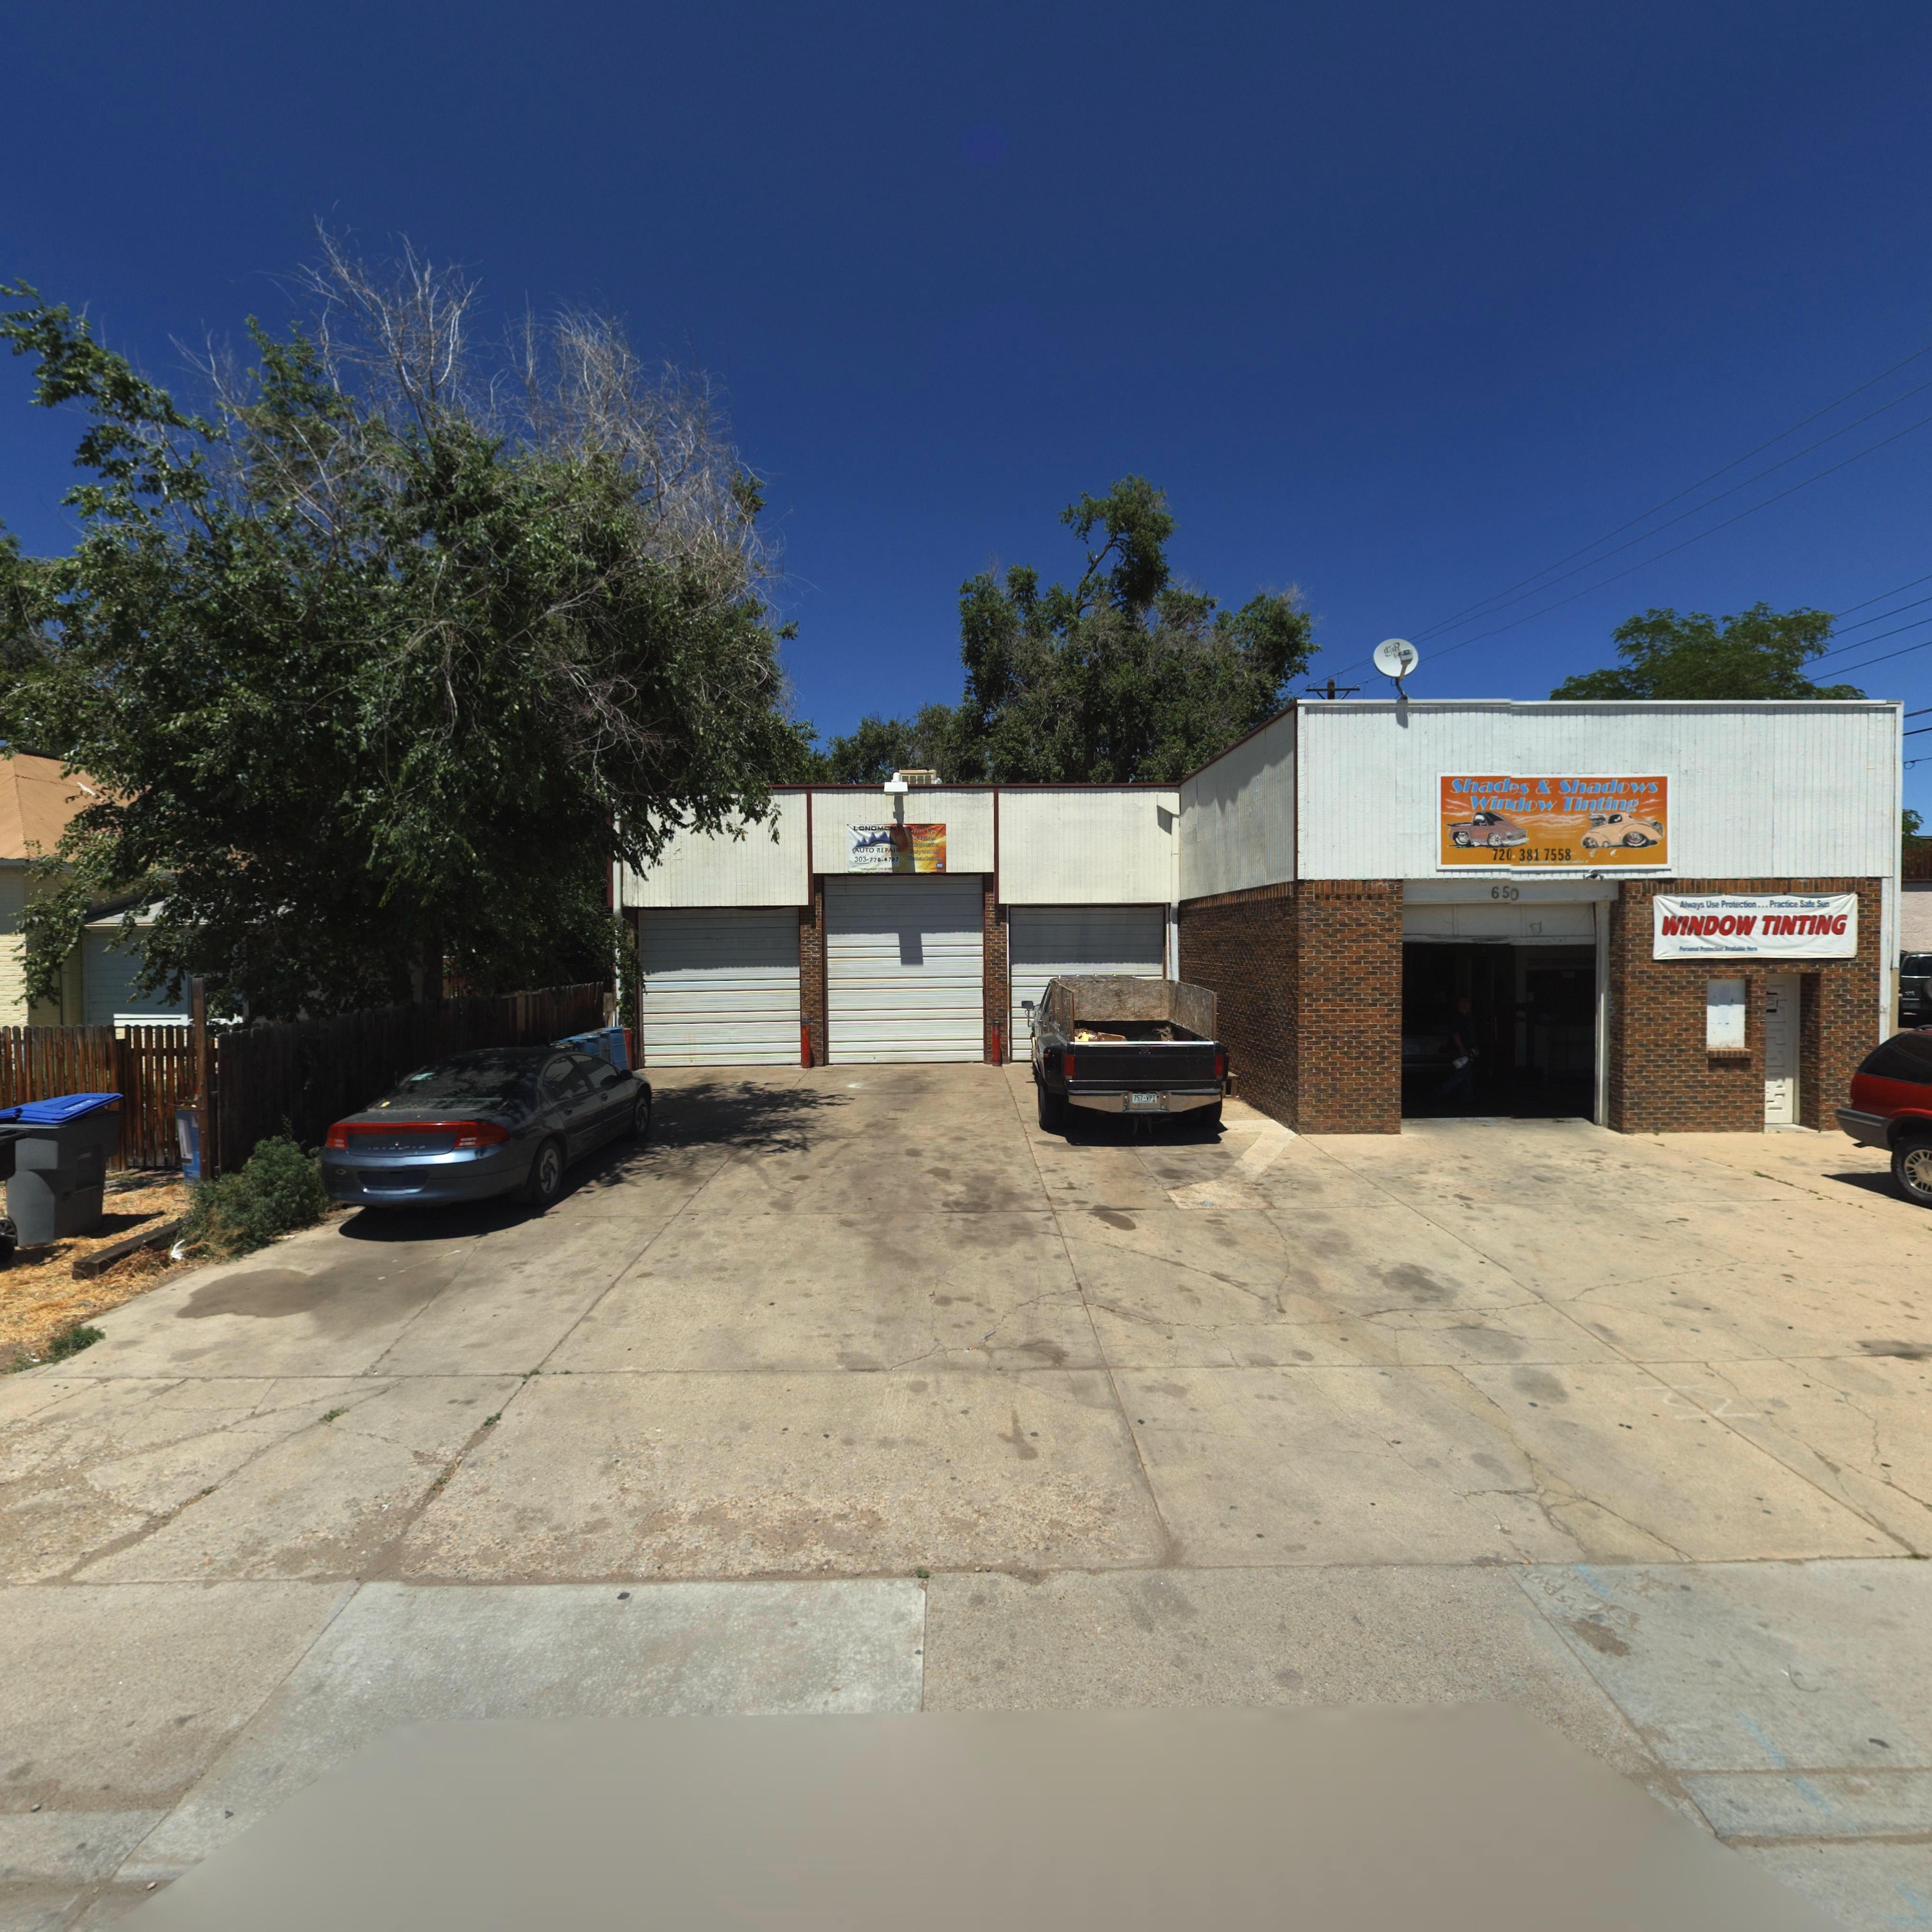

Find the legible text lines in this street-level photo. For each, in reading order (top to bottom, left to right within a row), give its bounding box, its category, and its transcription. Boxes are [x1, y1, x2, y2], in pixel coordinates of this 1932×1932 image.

[1449, 777, 1659, 794] BusinessName: Shades & Shadows
[853, 825, 902, 831] BusinessName: LONGMONT
[853, 847, 901, 853] BusinessName: AUTO REPAIR
[1490, 885, 1519, 901] StreetNumber: 650